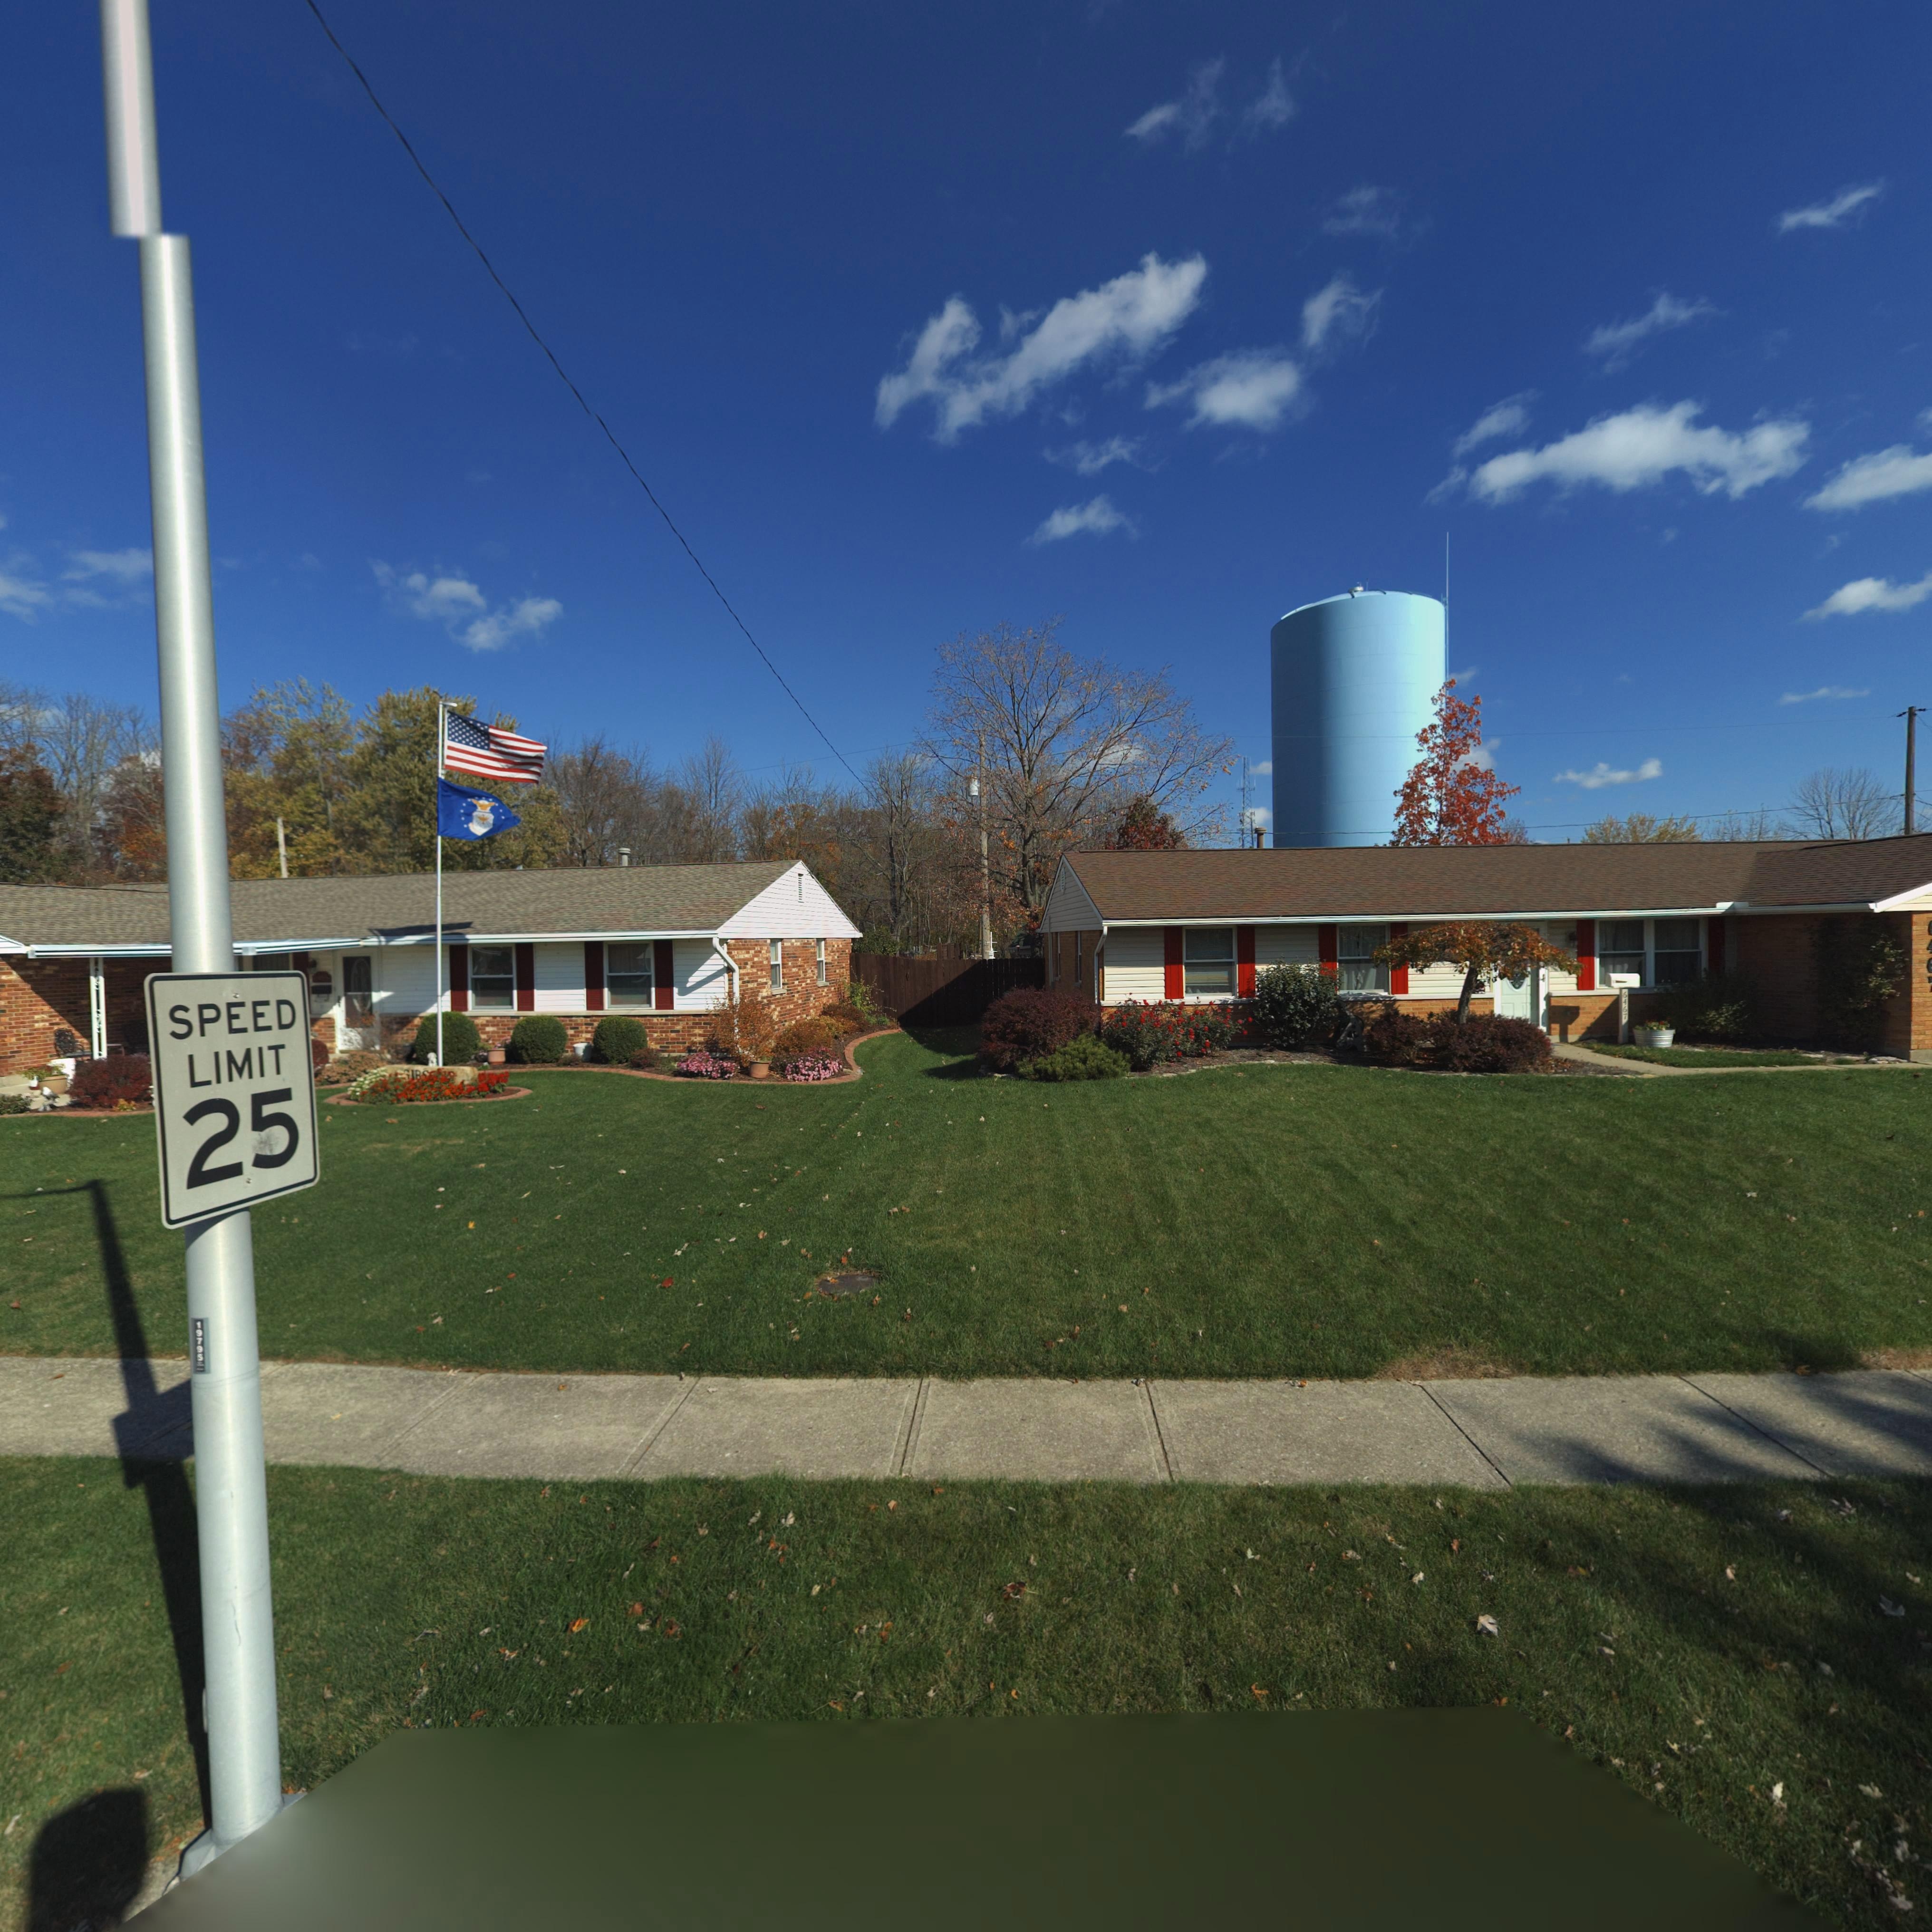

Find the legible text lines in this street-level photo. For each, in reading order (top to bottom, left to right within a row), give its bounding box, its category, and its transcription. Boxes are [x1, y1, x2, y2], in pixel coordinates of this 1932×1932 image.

[1622, 991, 1628, 1020] StreetNumber: 6467